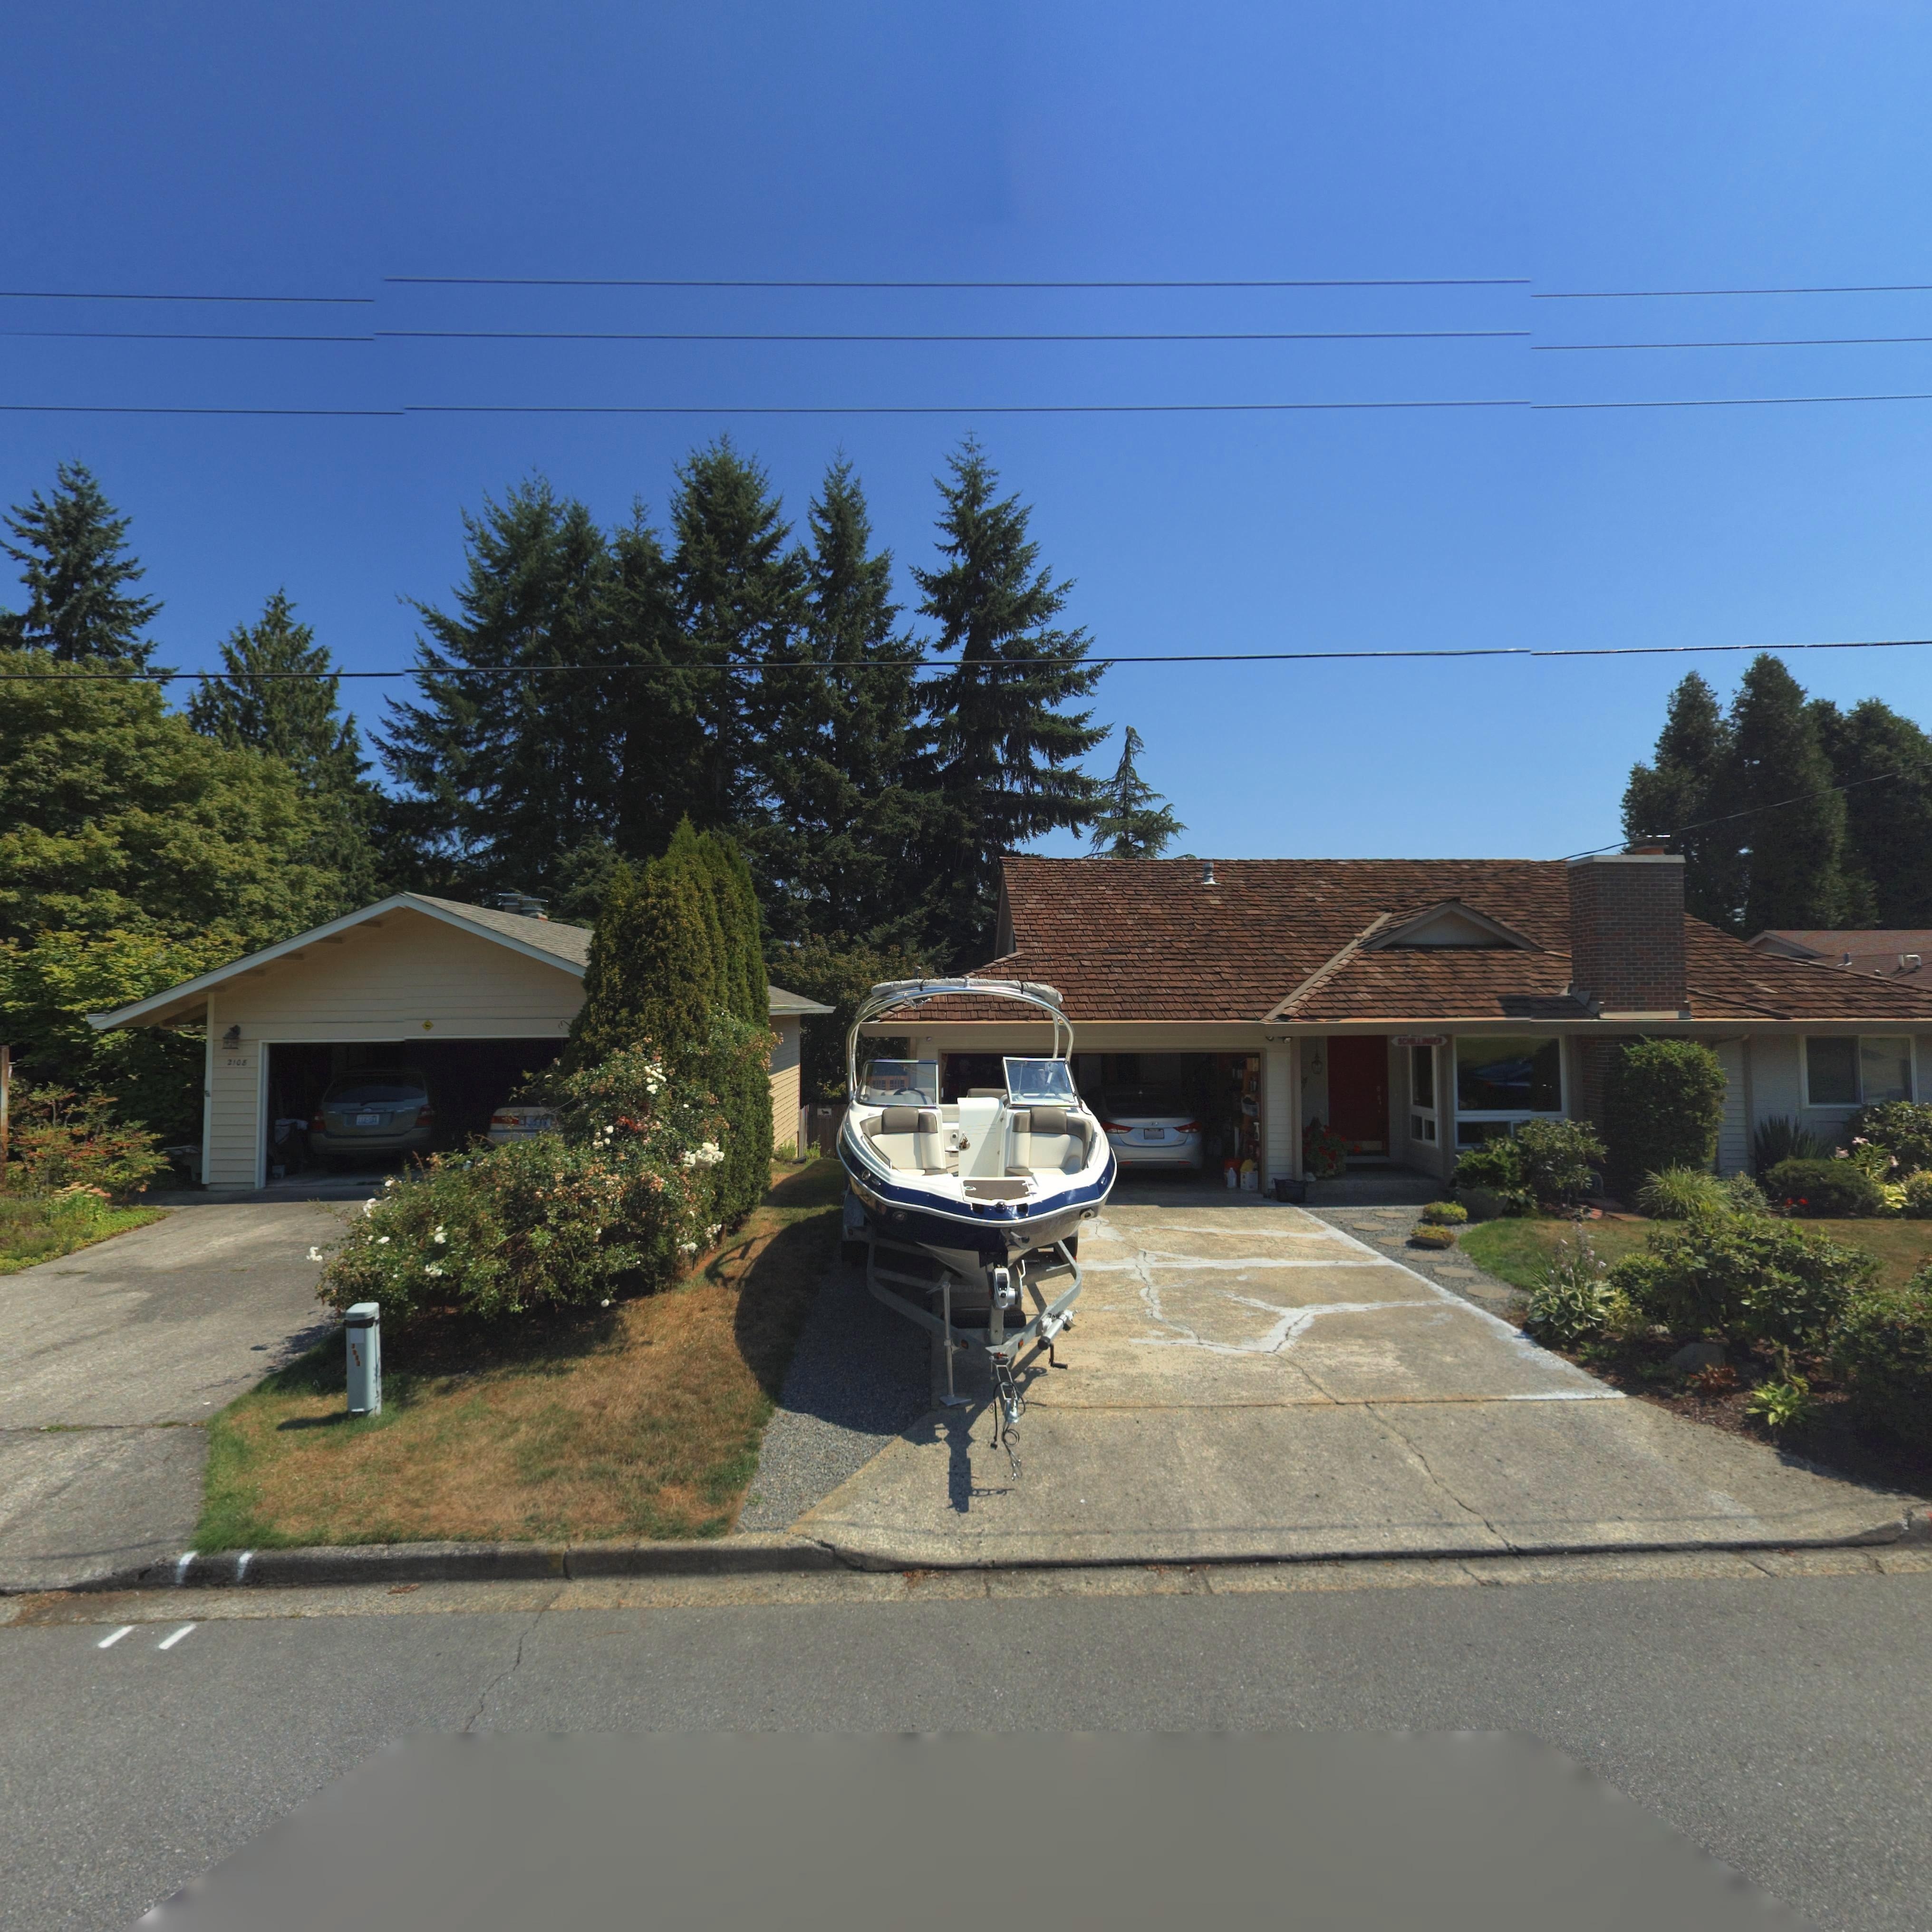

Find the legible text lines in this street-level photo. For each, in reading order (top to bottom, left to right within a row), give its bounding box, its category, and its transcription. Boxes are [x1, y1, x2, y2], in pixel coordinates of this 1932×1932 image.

[226, 1058, 248, 1067] StreetNumber: 210*